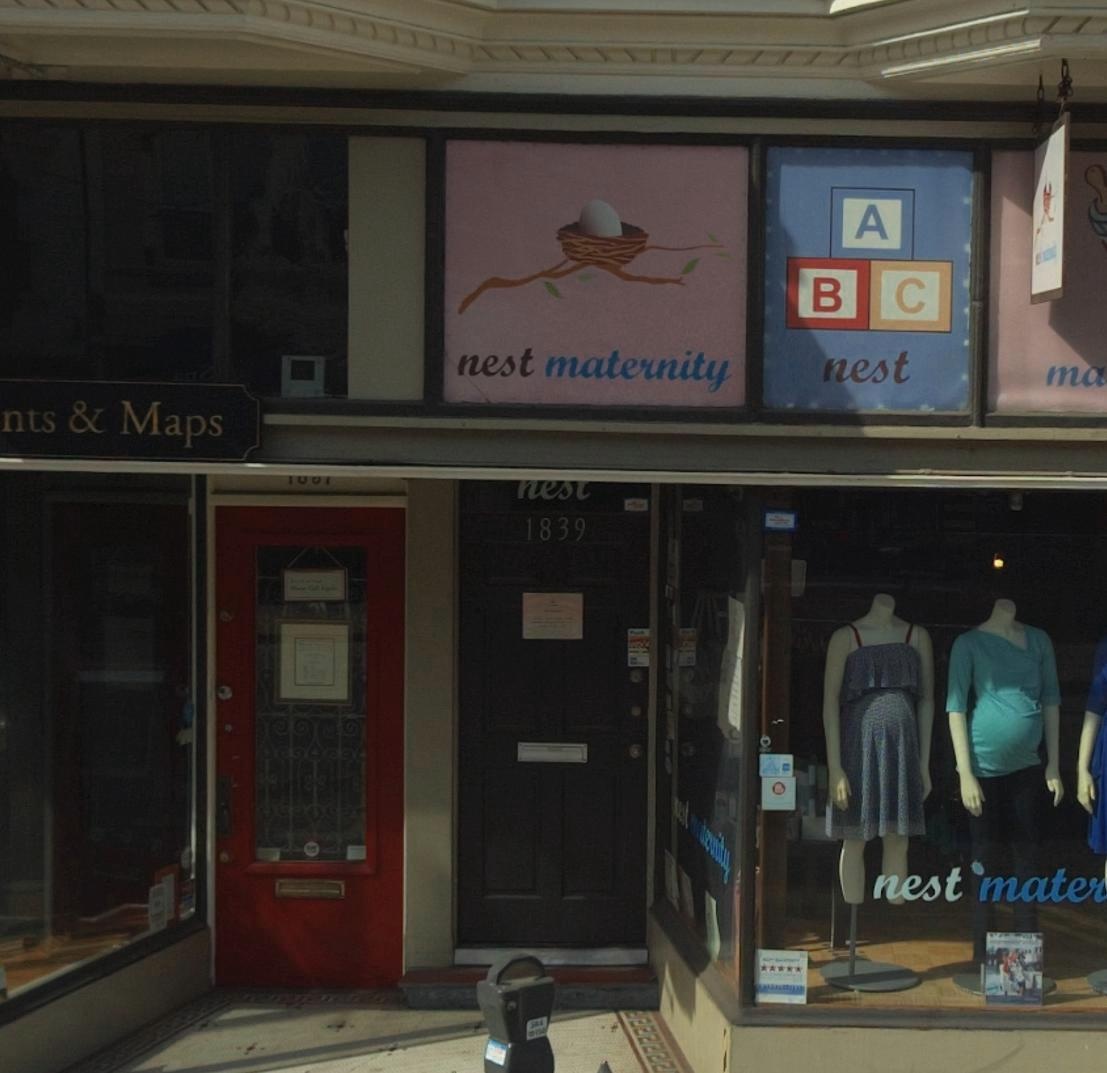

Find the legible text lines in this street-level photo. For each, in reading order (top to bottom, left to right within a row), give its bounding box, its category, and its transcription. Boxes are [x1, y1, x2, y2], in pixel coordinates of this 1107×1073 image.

[850, 200, 894, 244] None: A
[810, 274, 847, 316] None: B
[893, 275, 930, 319] None: C
[454, 345, 733, 395] BusinessName: nest maternity
[819, 347, 915, 387] BusinessName: nest
[1042, 359, 1106, 392] BusinessName: ma
[1, 397, 227, 451] BusinessName: nts & Maps
[515, 477, 595, 503] BusinessName: ne**
[523, 515, 589, 545] StreetNumber: 1839
[869, 864, 1106, 905] BusinessName: nest mater